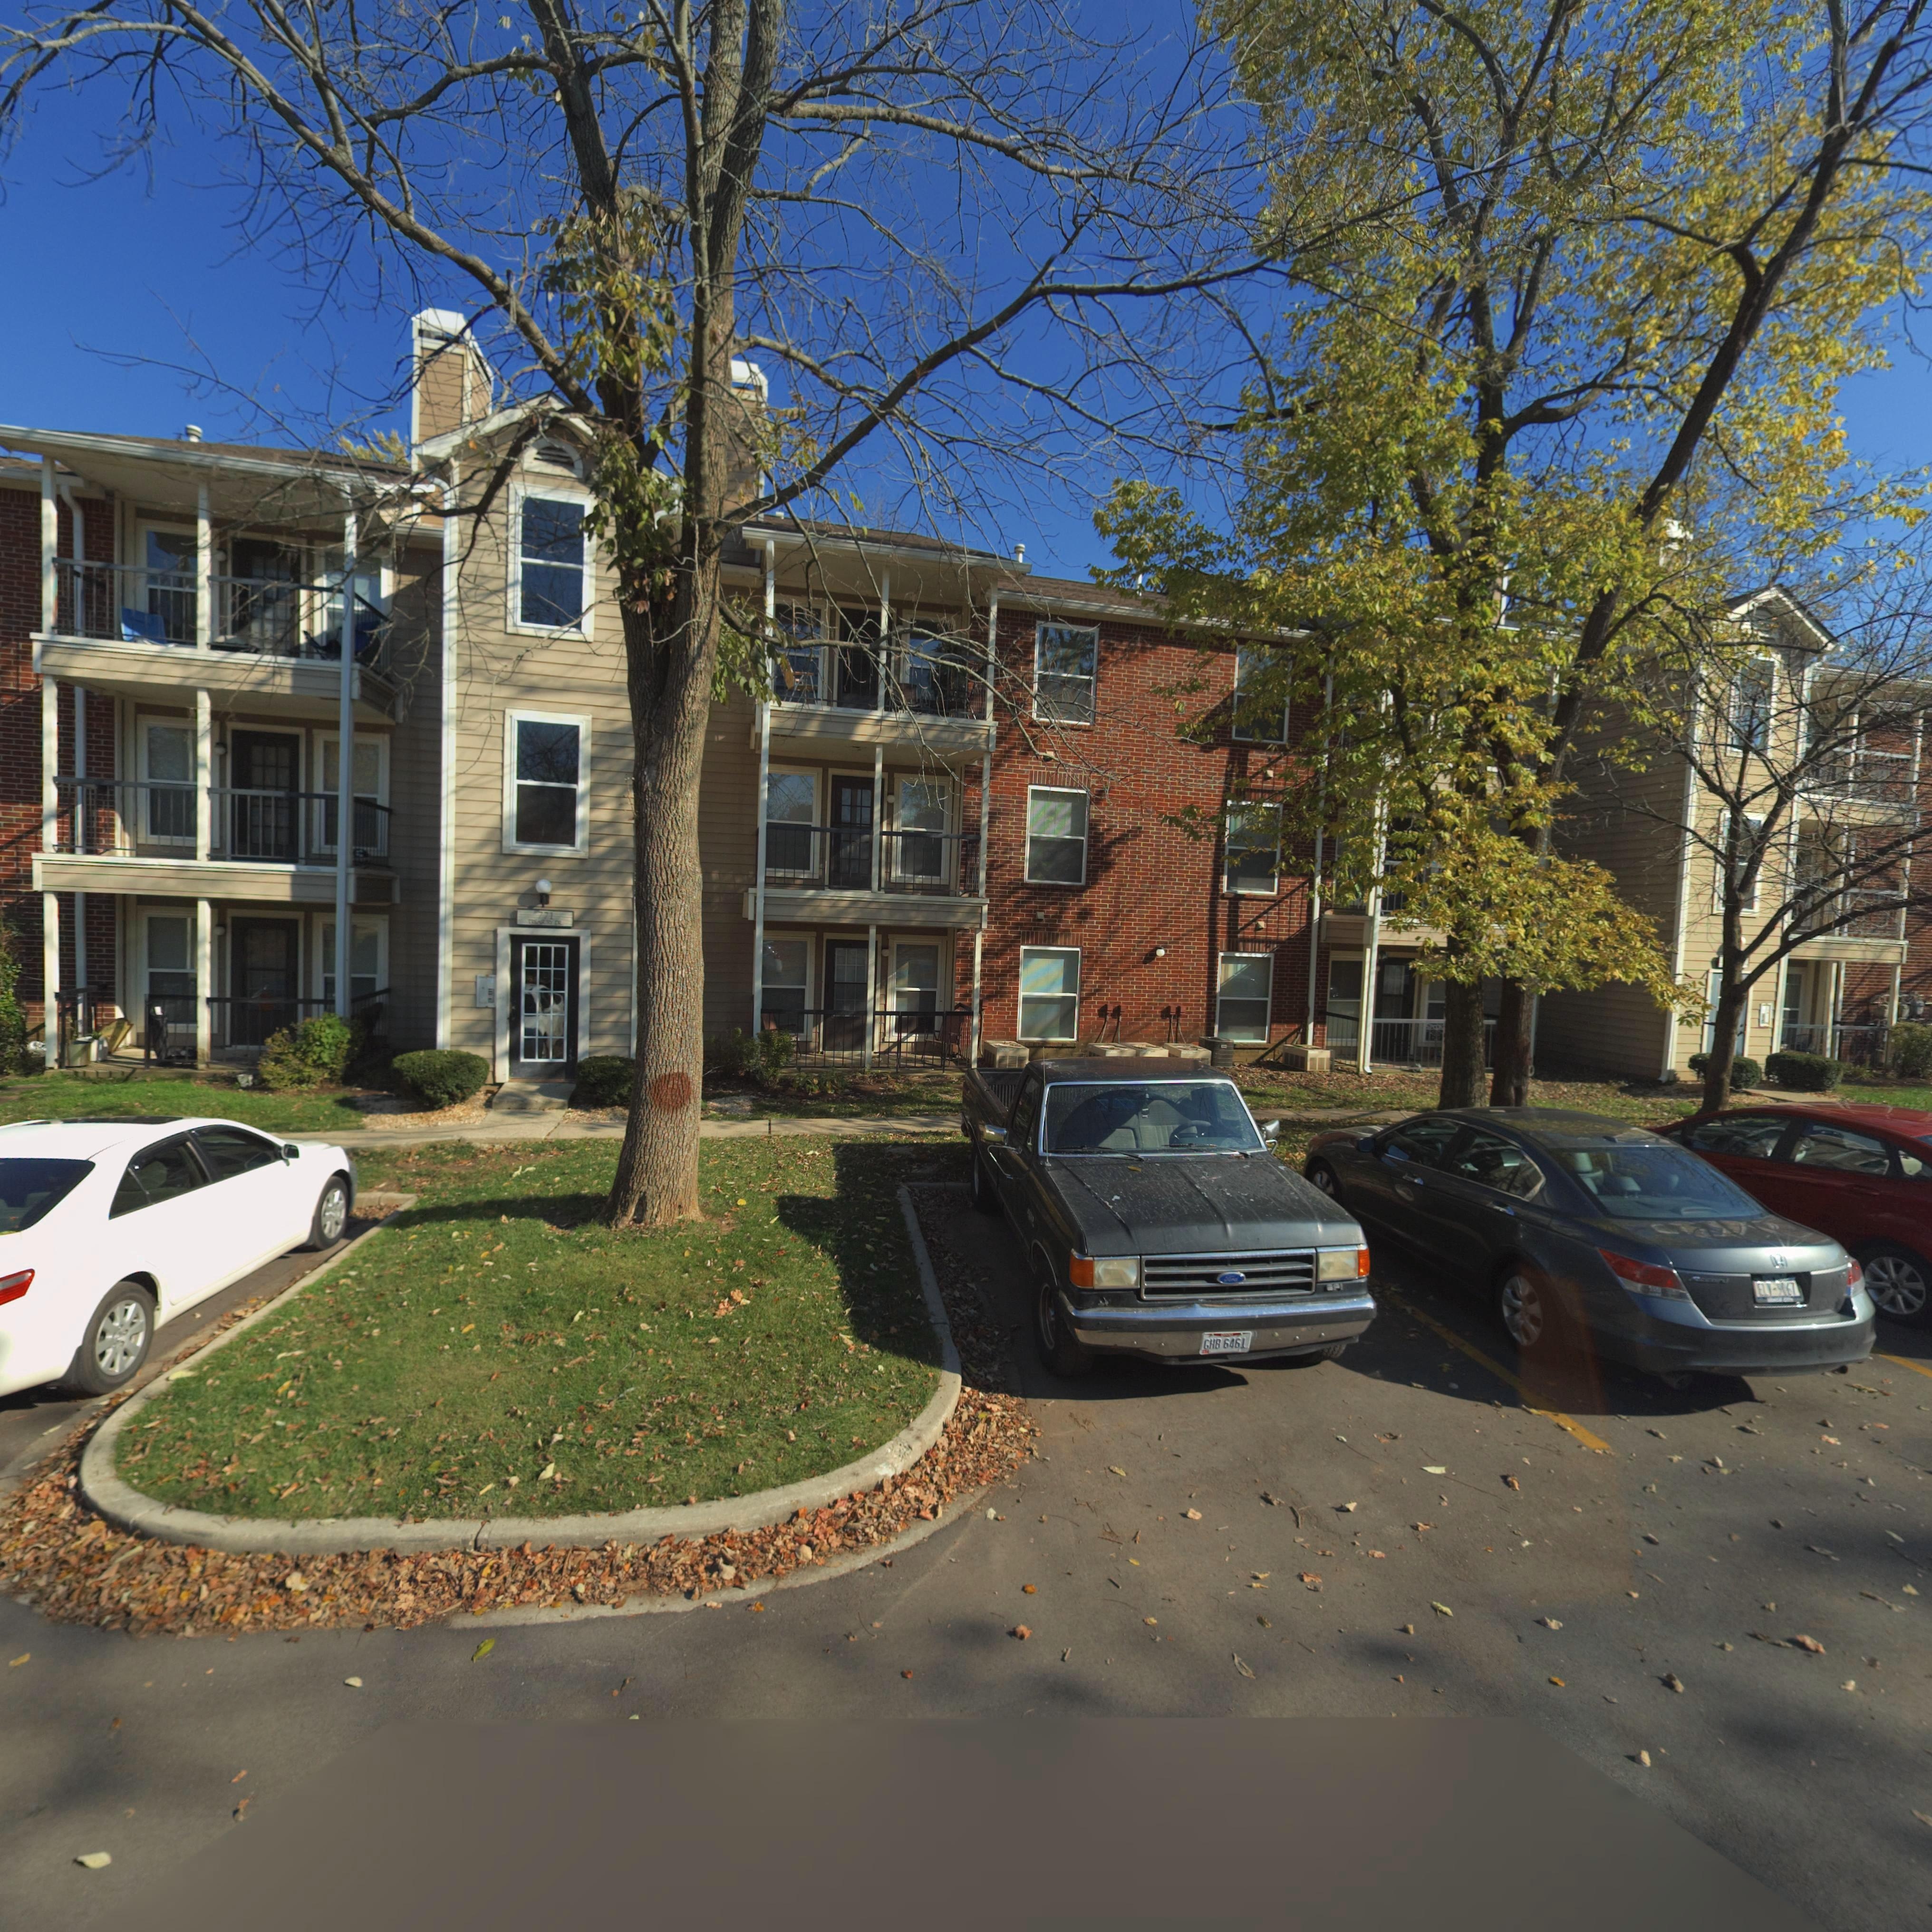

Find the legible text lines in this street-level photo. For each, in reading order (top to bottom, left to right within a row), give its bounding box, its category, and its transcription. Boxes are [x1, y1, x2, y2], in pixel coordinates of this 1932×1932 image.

[537, 911, 554, 920] StreetNumber: 771
[1754, 1280, 1797, 1299] None: ELV-**67
[1203, 1336, 1246, 1351] None: GHB 6461